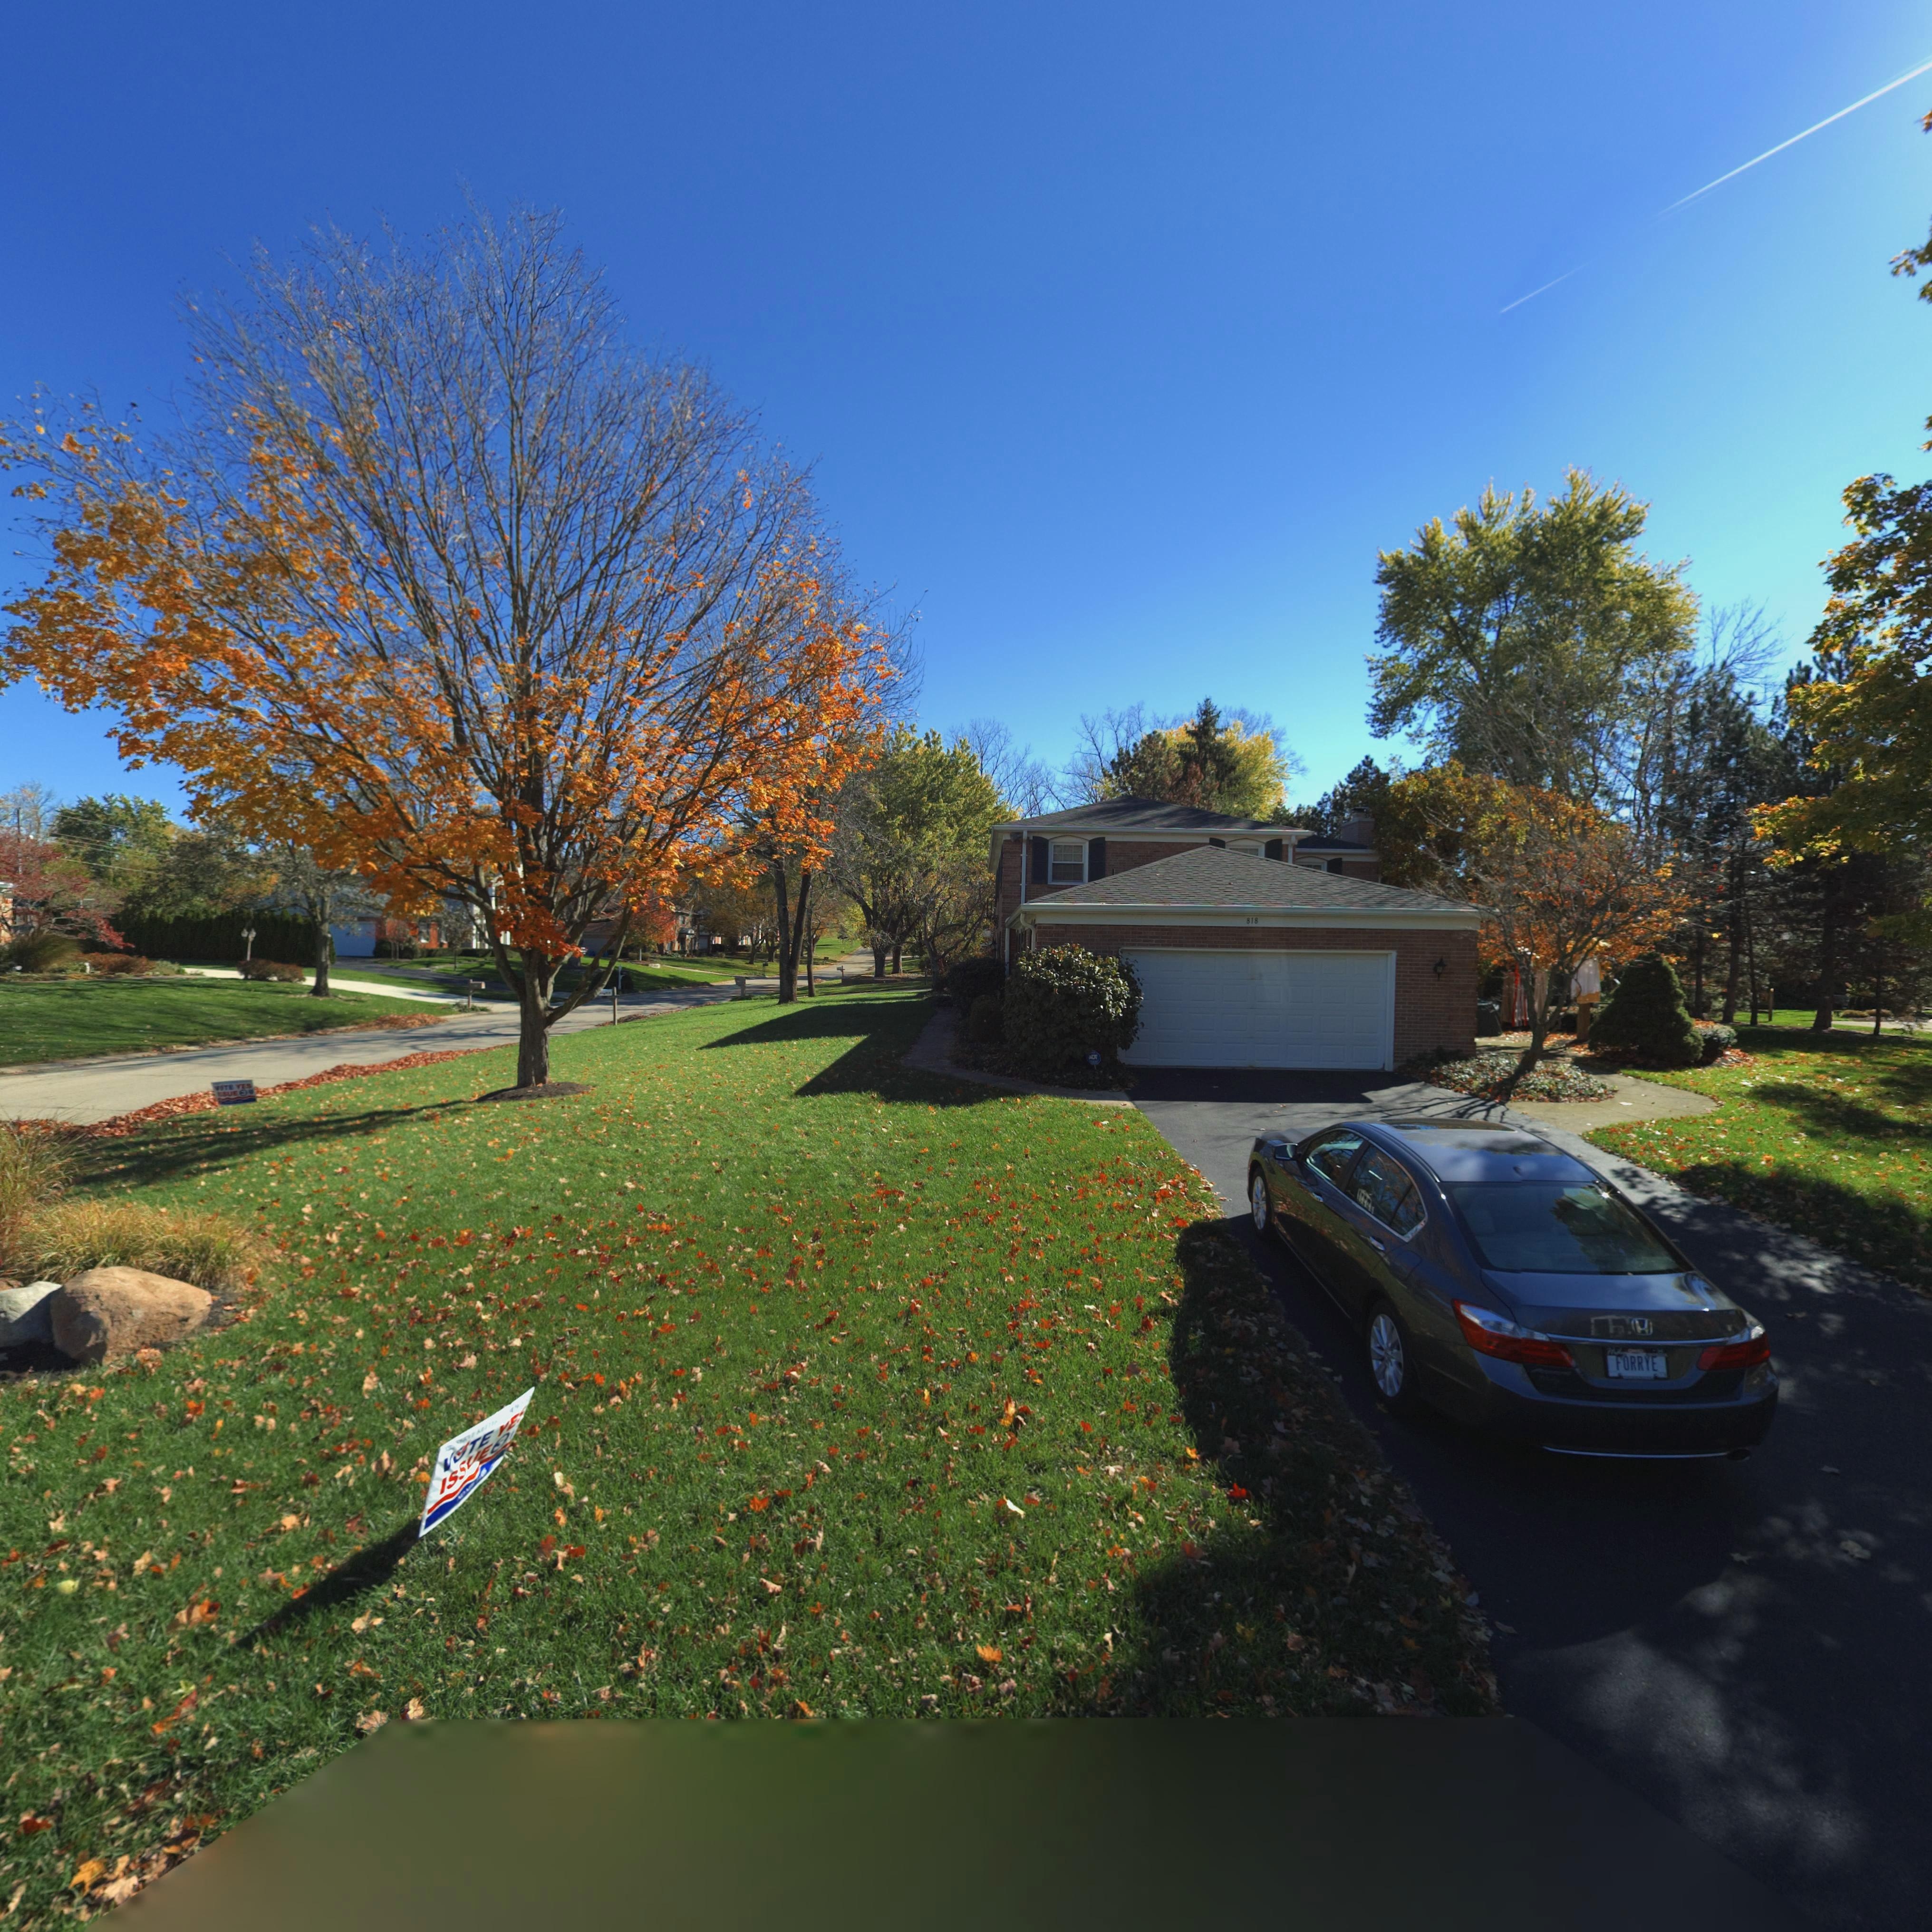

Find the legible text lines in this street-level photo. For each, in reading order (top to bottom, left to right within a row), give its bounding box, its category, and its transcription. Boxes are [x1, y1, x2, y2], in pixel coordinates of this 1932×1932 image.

[1246, 916, 1259, 925] StreetNumber: 818